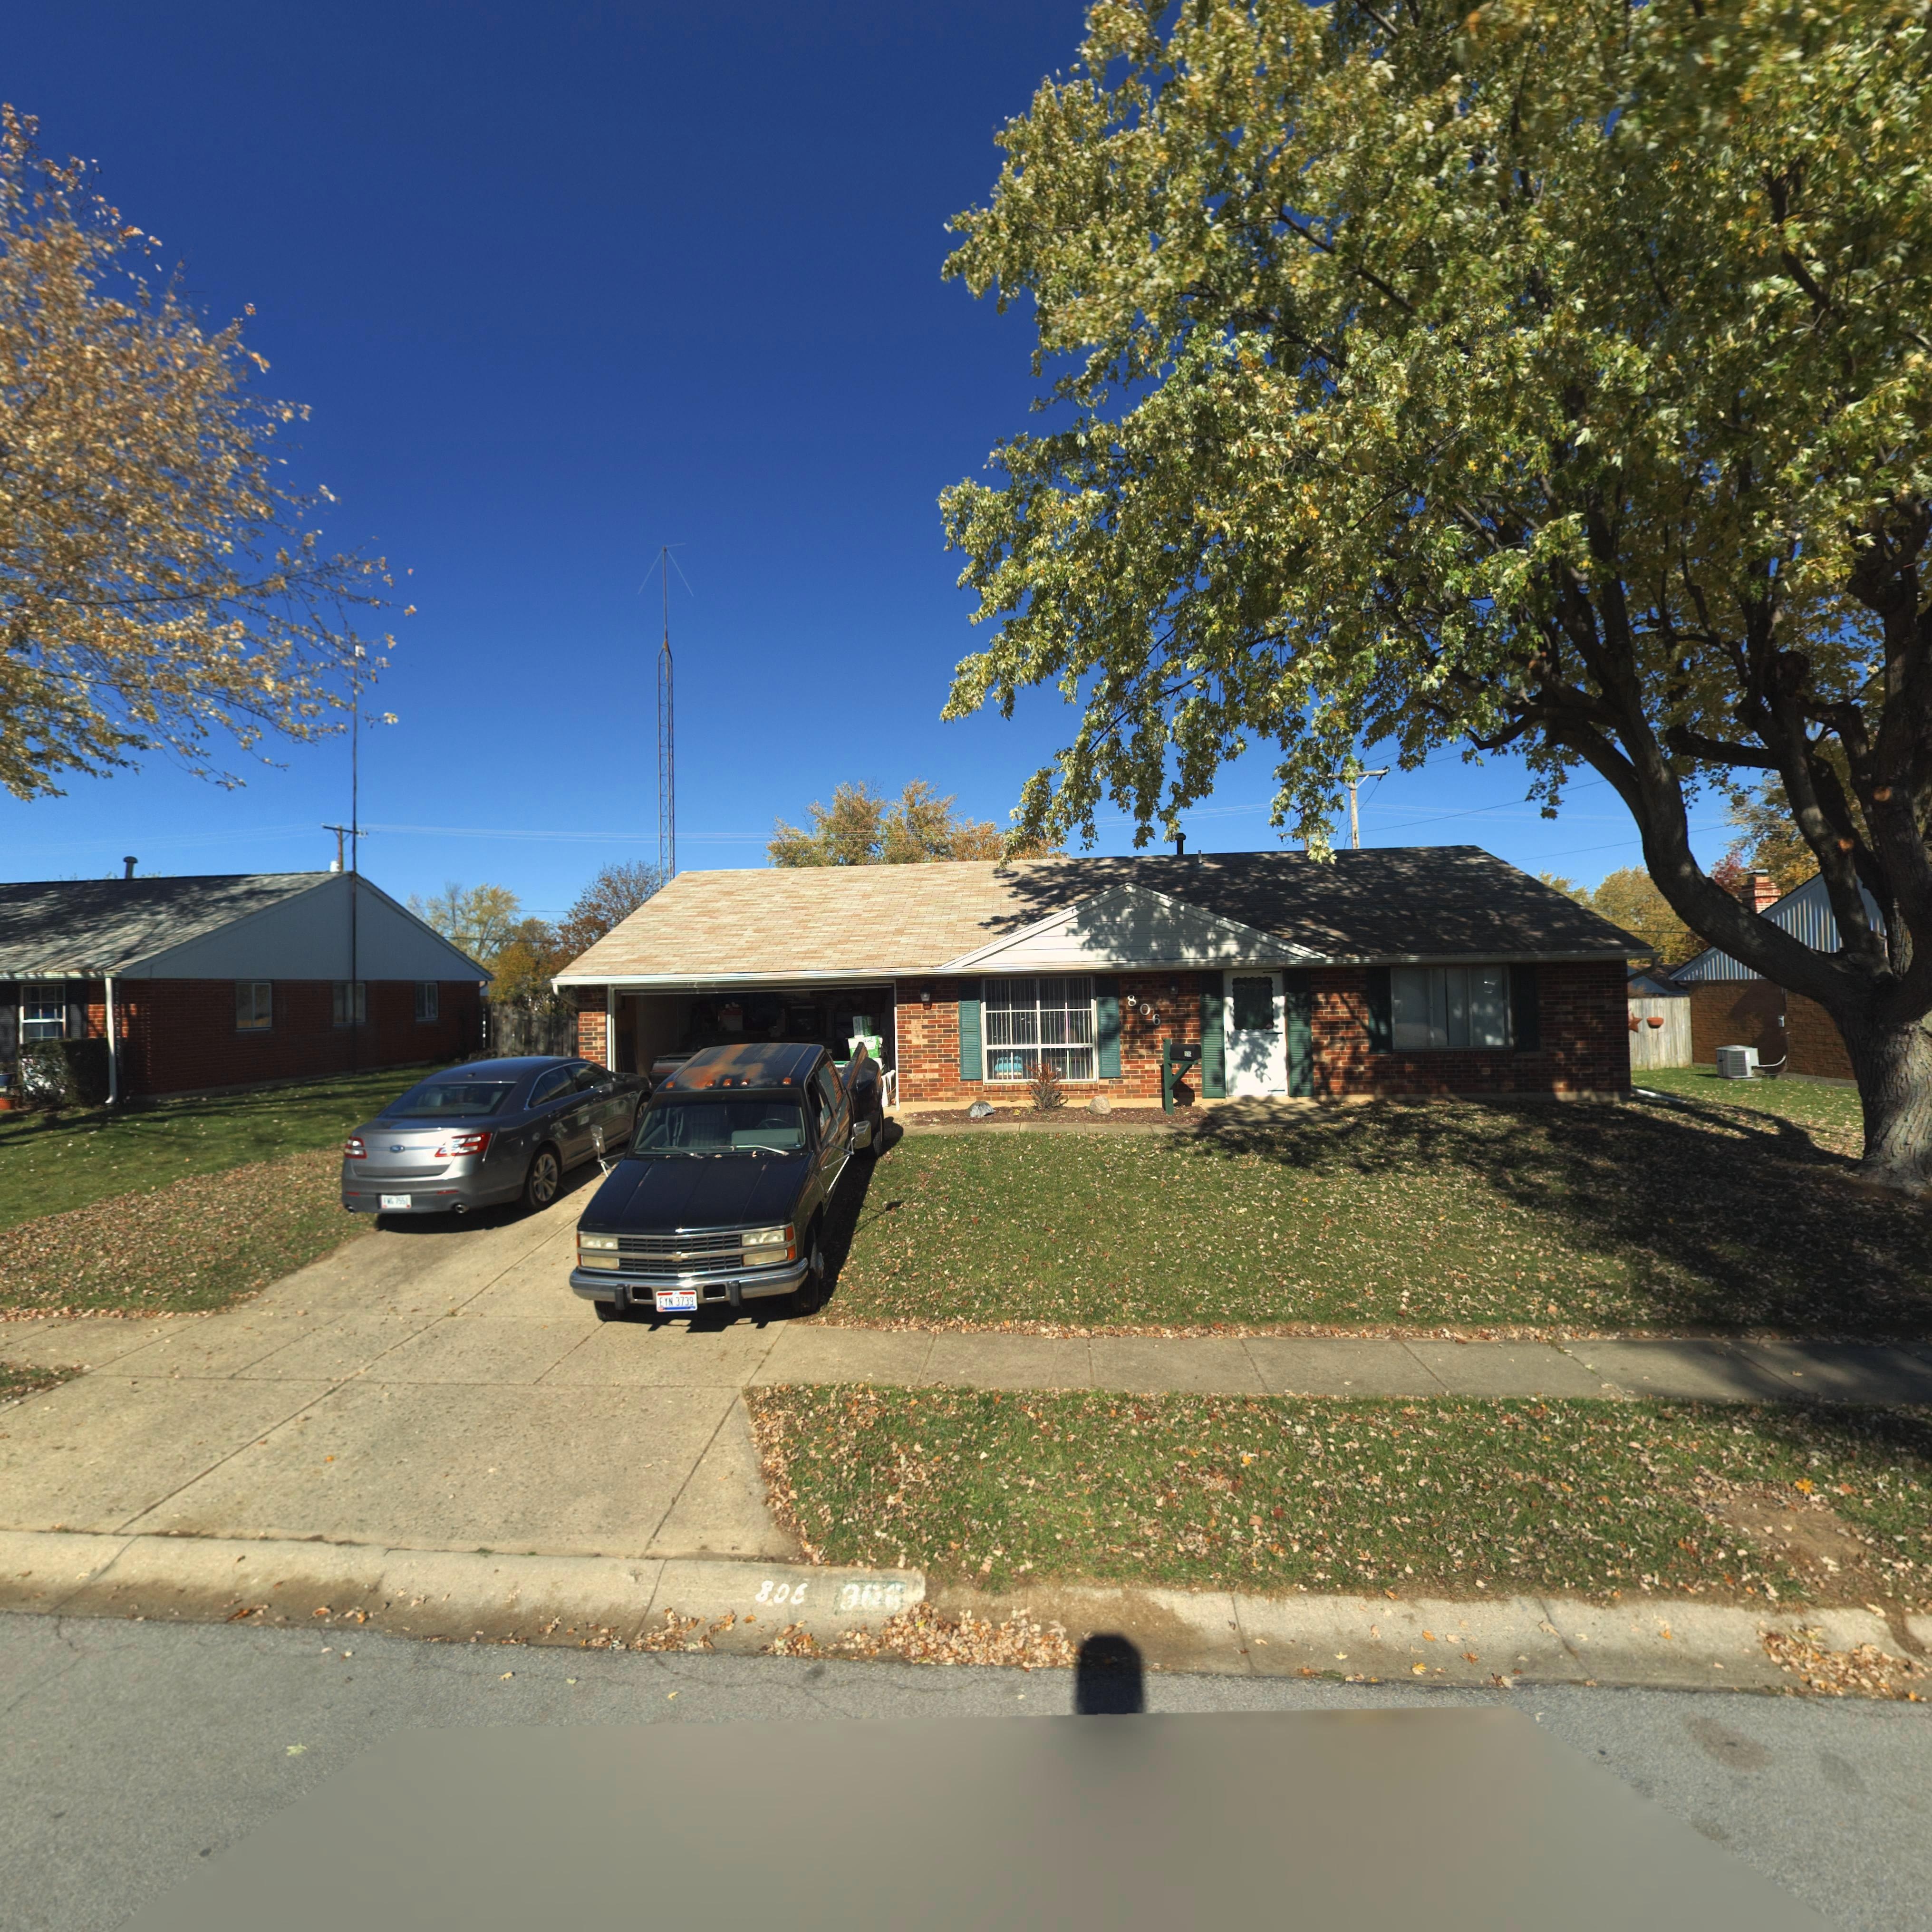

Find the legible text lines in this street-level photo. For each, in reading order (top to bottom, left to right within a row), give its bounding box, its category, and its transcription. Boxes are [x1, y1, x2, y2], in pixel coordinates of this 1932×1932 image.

[1127, 994, 1161, 1026] StreetNumber: 806
[1184, 1051, 1191, 1057] StreetNumber: 8**
[753, 1579, 810, 1607] StreetNumber: 806
[839, 1581, 905, 1613] StreetNumber: *06